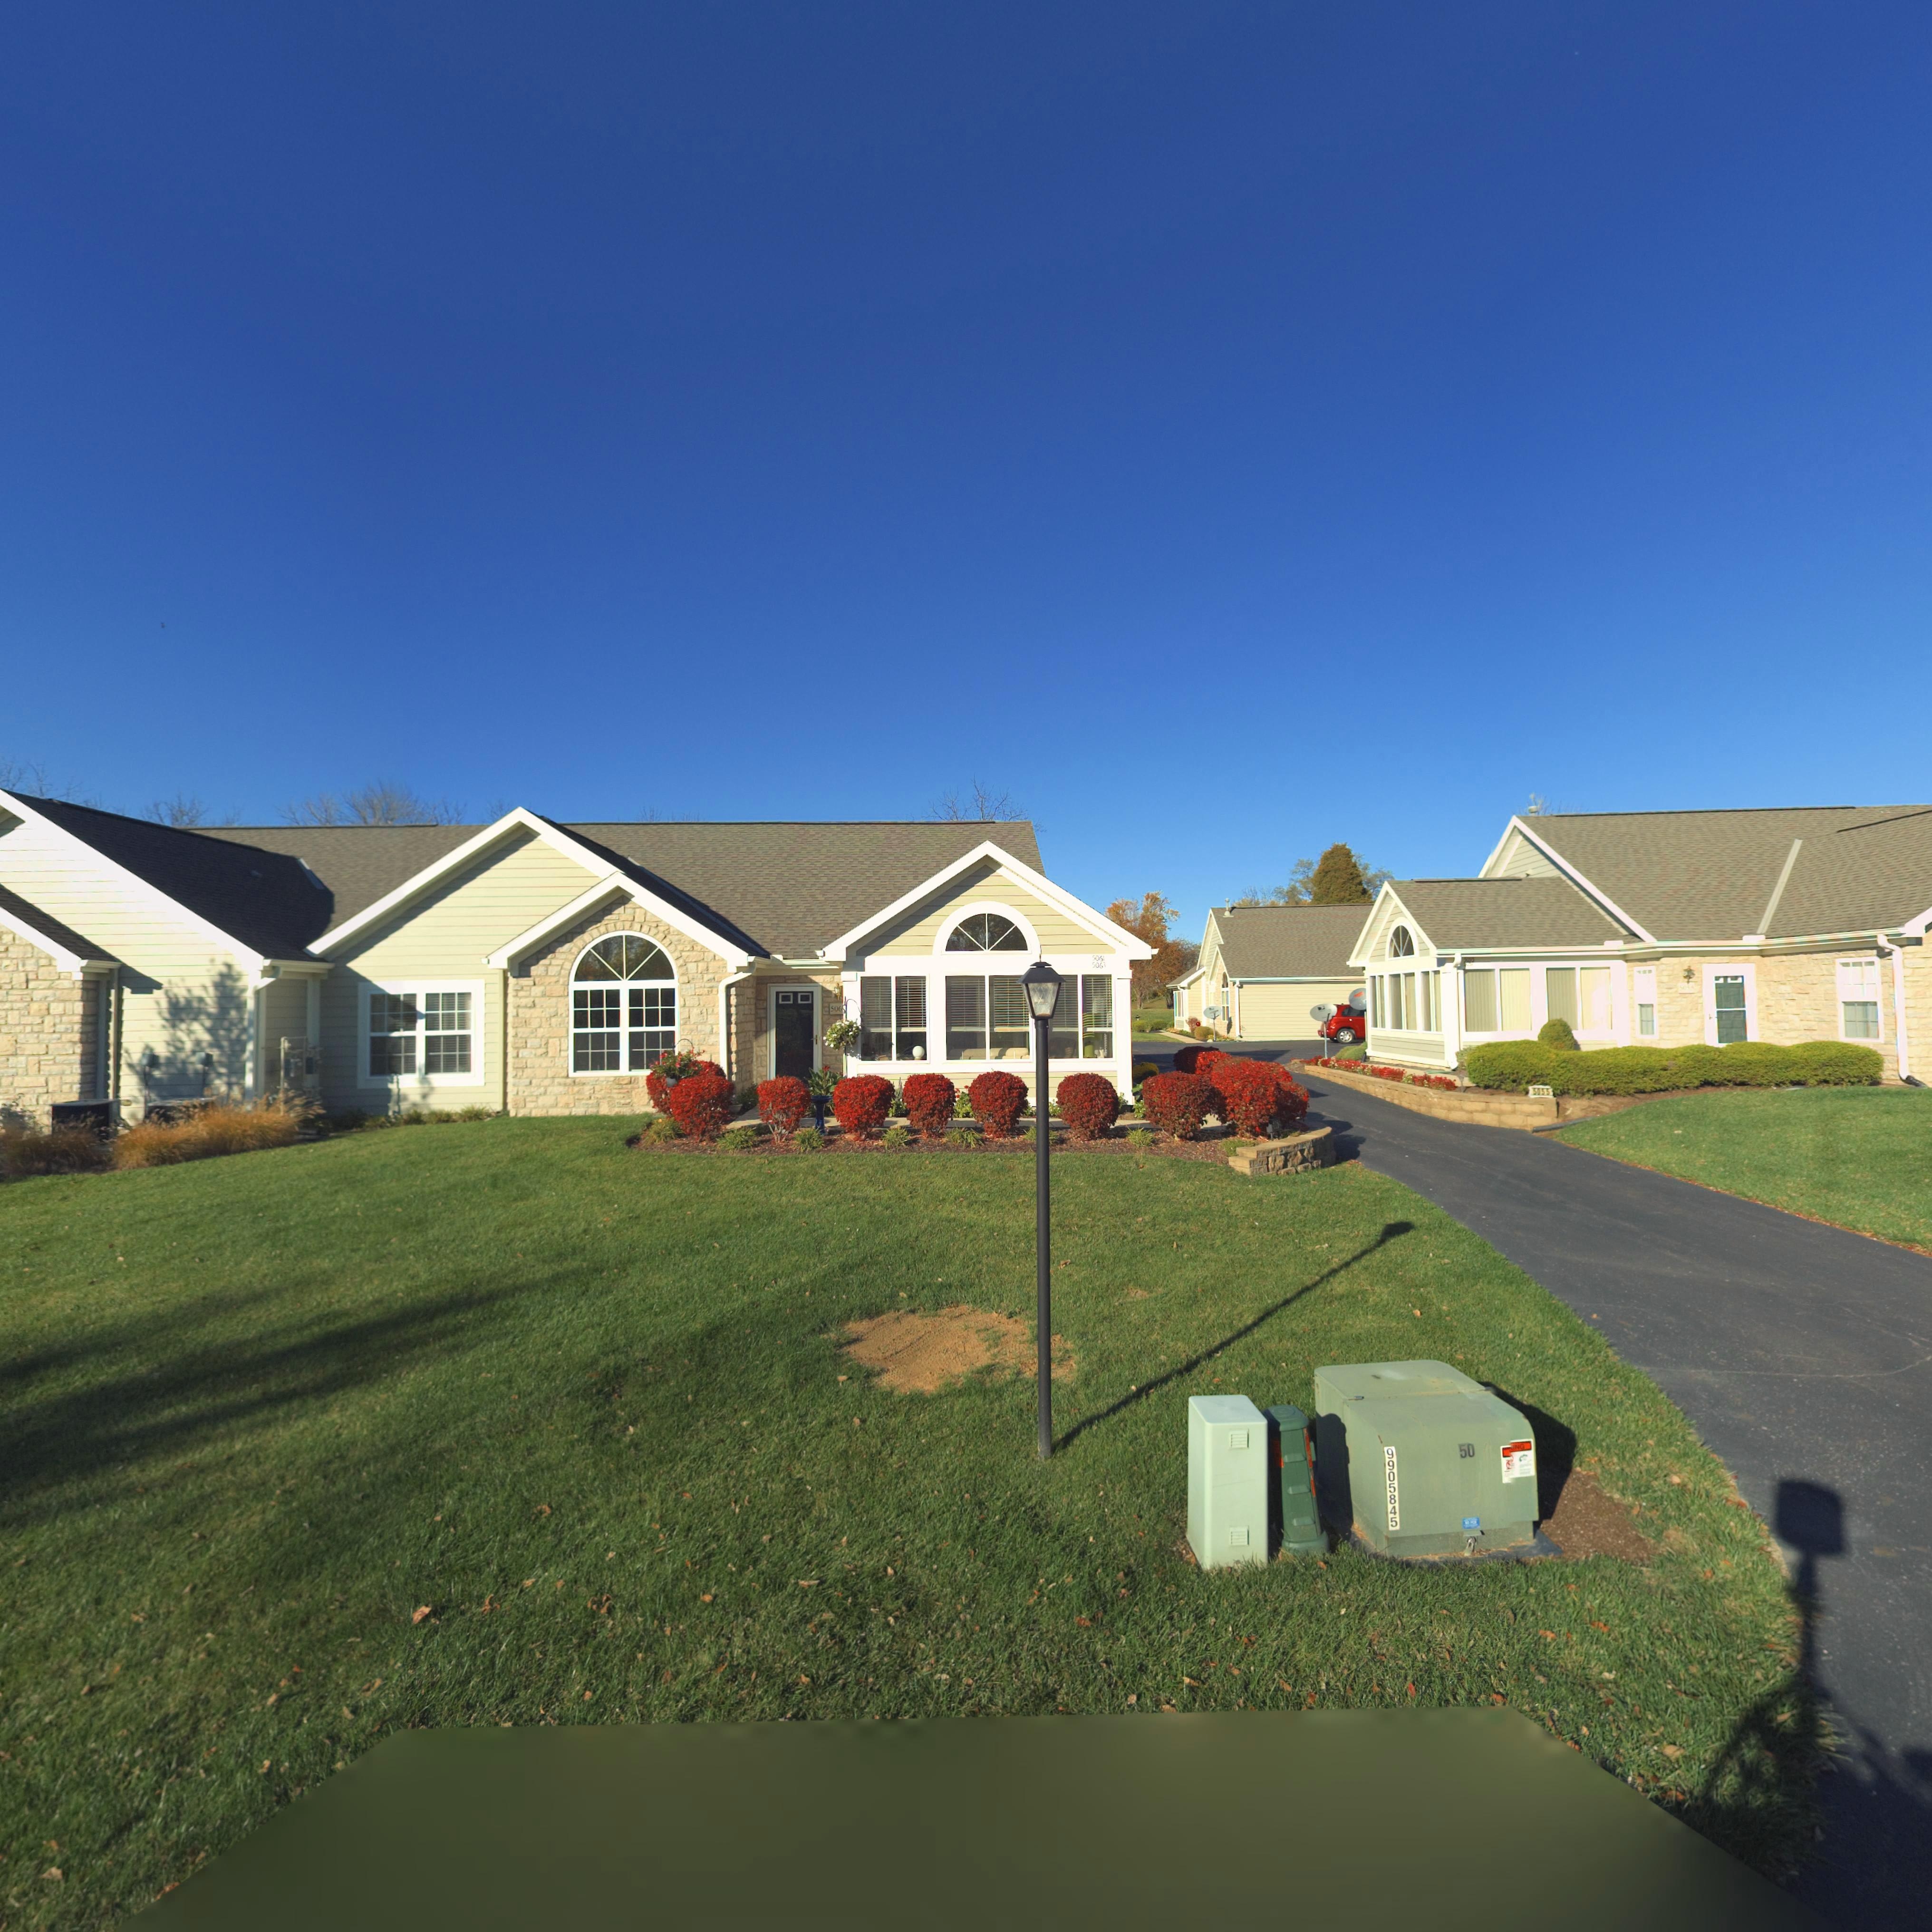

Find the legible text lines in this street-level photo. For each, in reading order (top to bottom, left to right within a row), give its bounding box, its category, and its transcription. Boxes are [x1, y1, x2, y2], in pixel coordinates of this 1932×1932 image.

[830, 1005, 843, 1013] StreetNumber: 506
[1532, 1087, 1551, 1097] StreetNumber: 5055